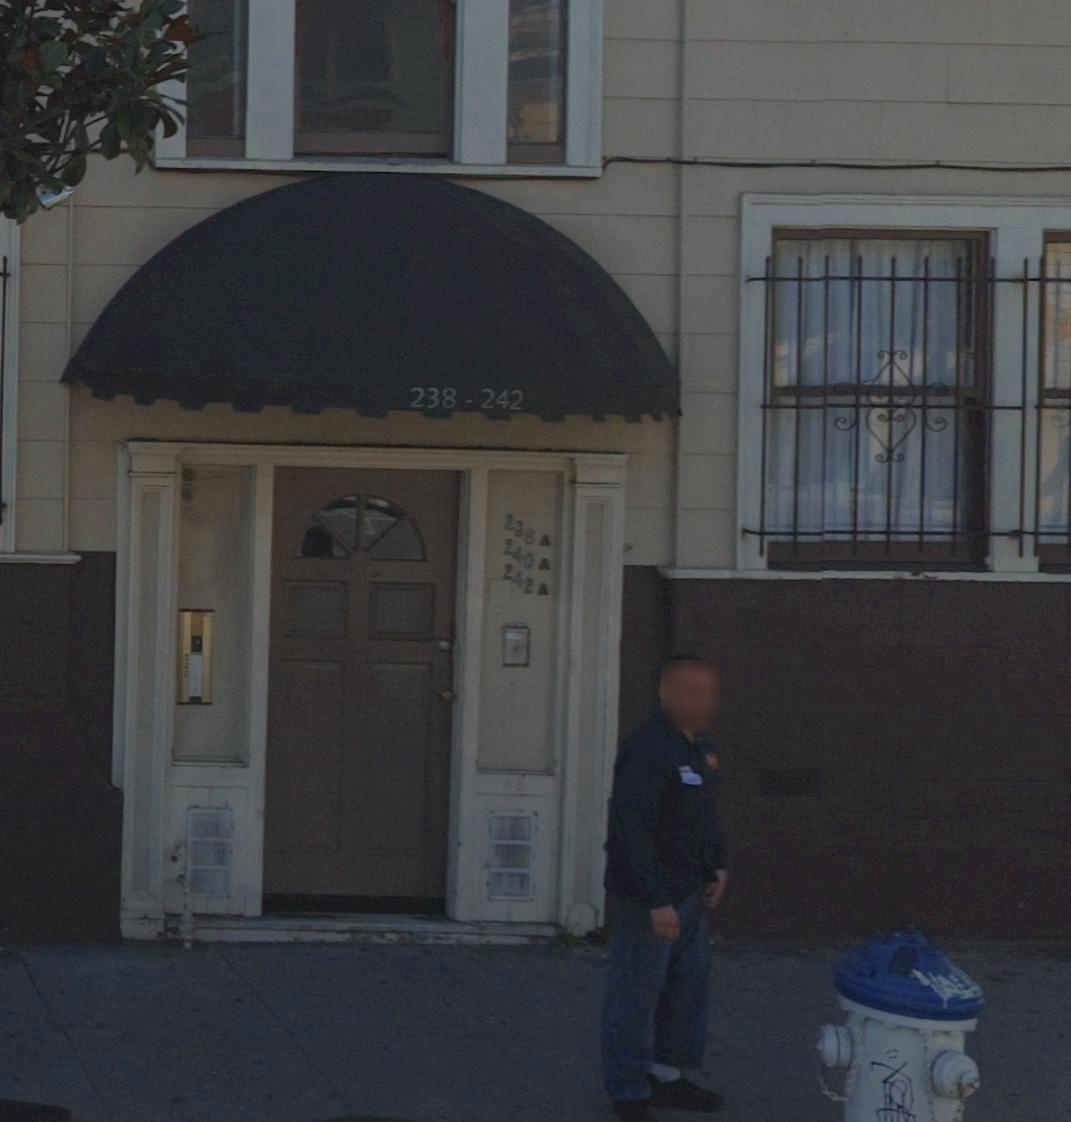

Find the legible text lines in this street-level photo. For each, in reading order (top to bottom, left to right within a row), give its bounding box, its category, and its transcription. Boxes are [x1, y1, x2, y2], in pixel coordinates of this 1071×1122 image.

[405, 382, 462, 413] StreetNumber: 238
[478, 384, 528, 415] StreetNumber: 242
[500, 507, 554, 550] StreetNumber: 238A
[498, 531, 554, 578] StreetNumber: 240A
[500, 554, 553, 602] StreetNumber: 242A